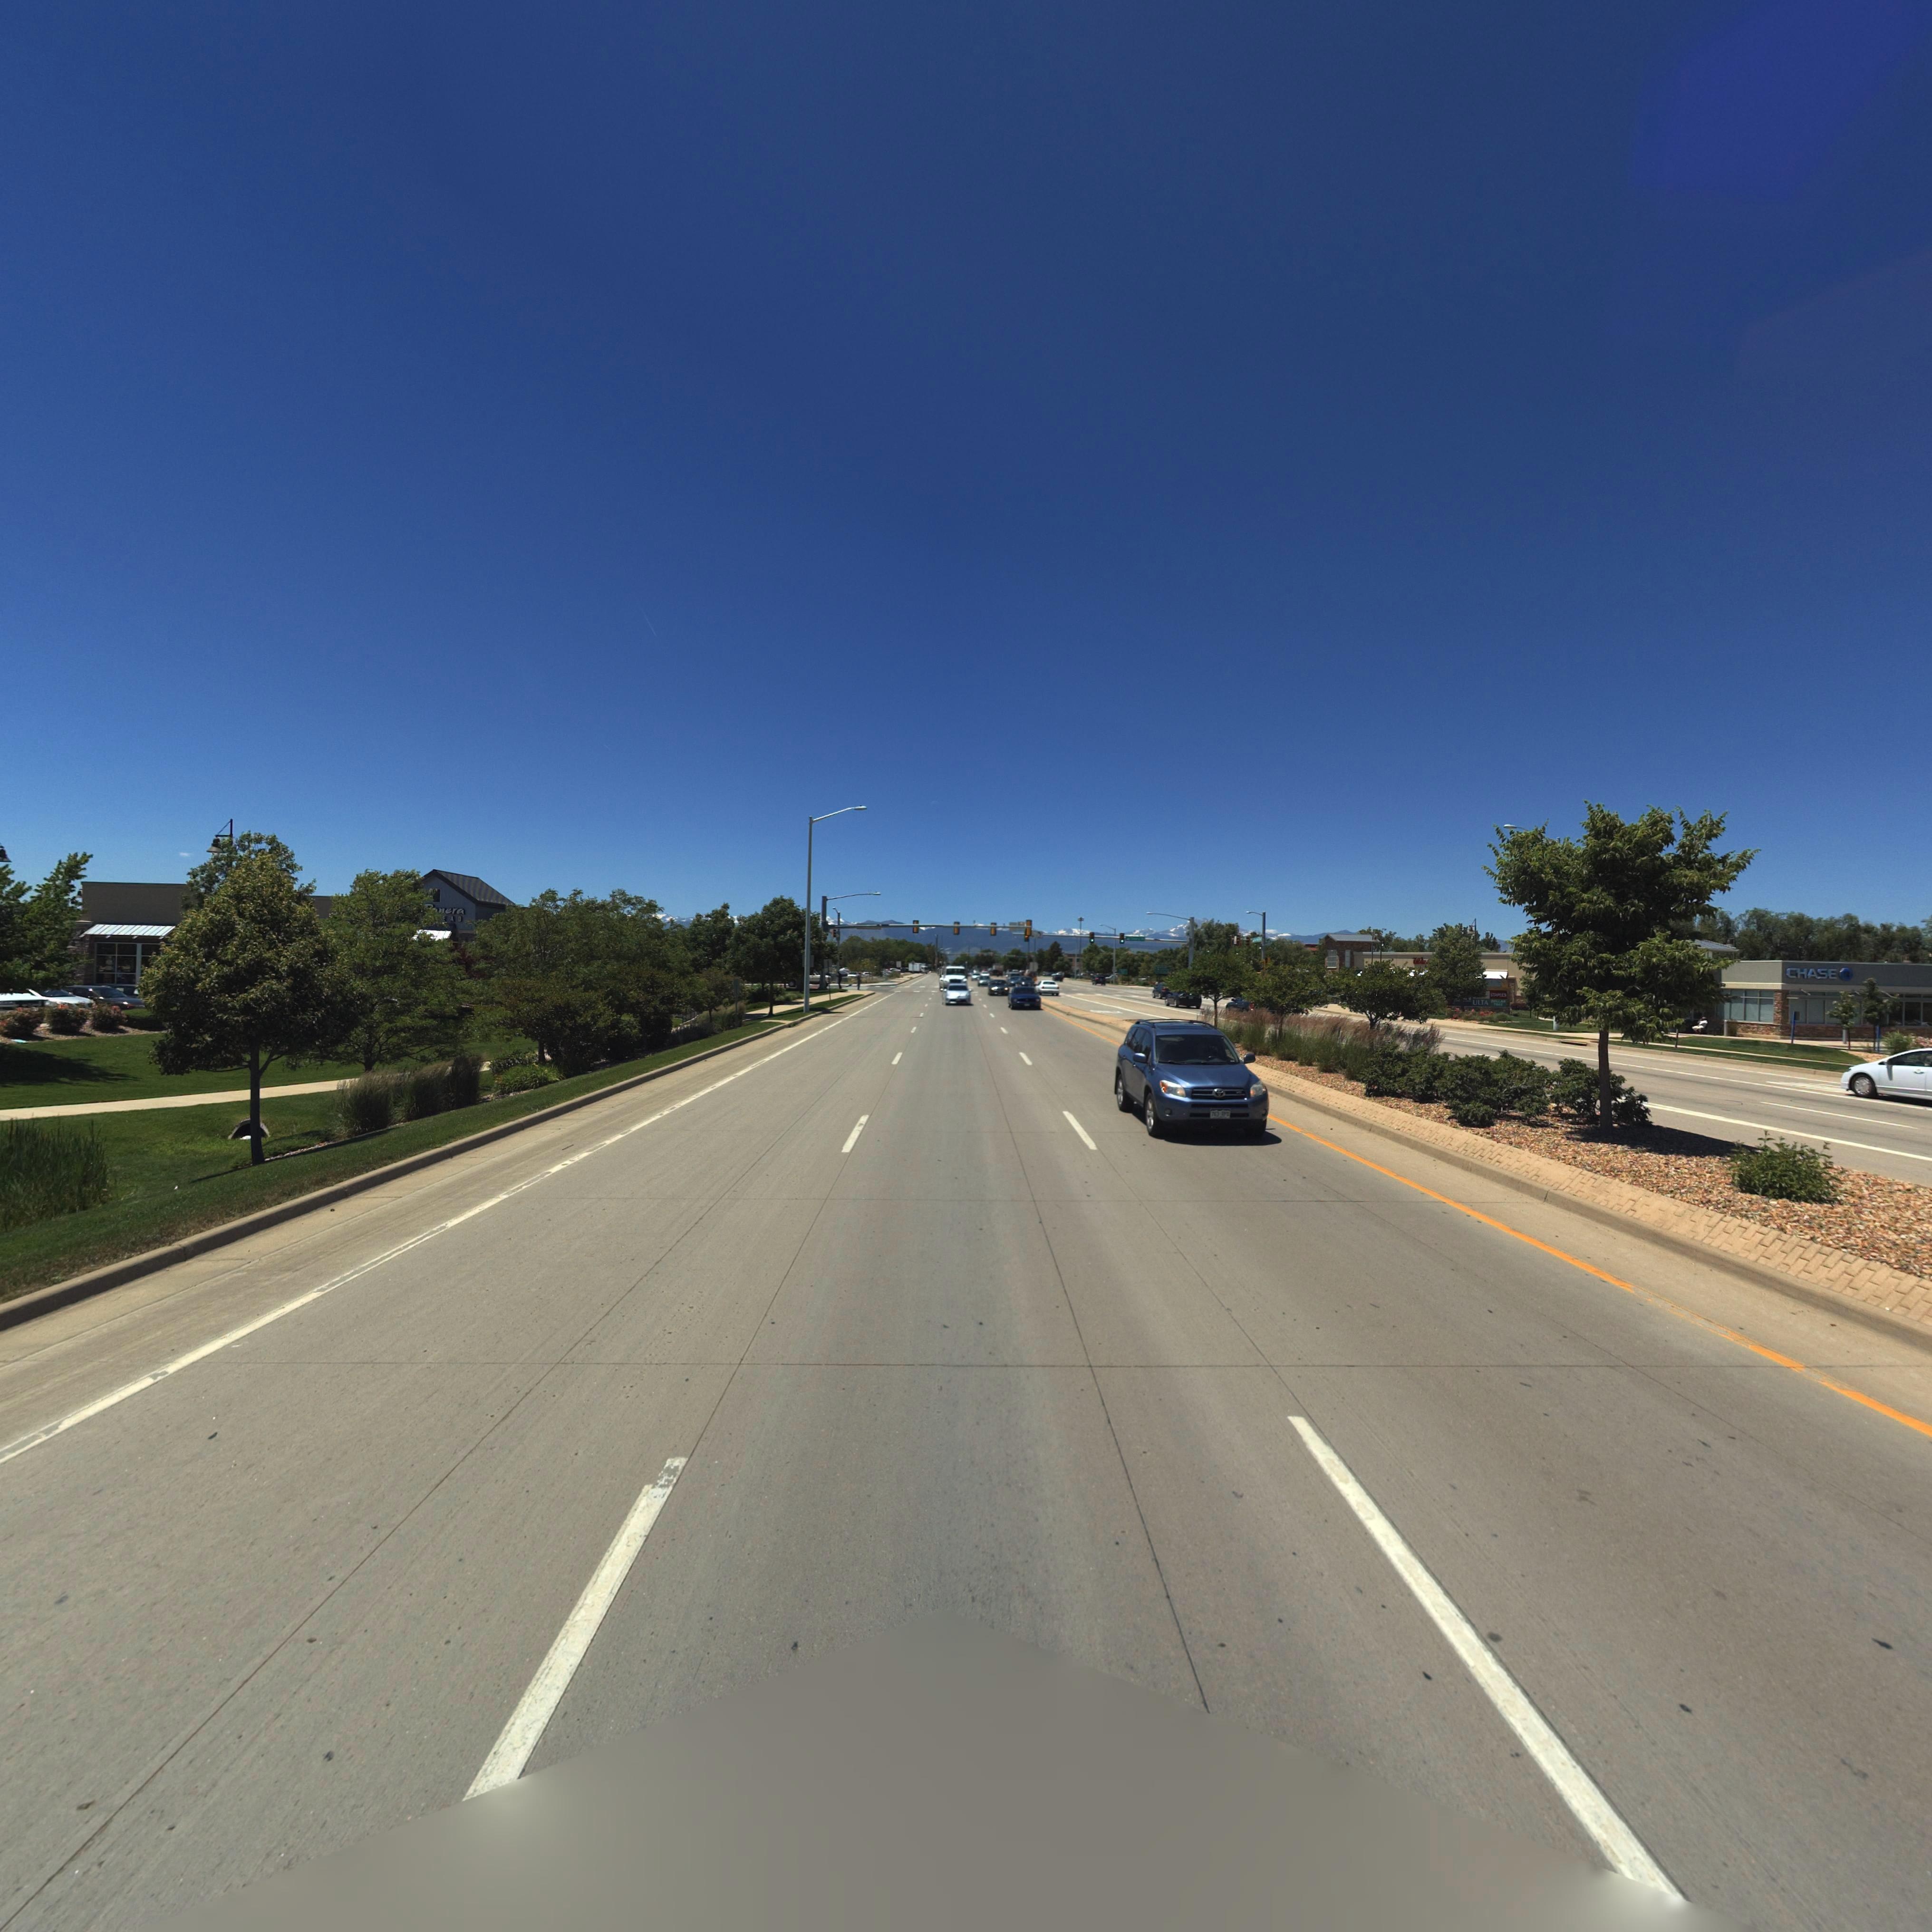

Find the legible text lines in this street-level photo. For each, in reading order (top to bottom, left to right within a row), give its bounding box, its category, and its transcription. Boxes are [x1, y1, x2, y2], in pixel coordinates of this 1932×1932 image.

[438, 908, 464, 914] BusinessName: nera
[449, 916, 461, 922] BusinessName: AD
[1412, 956, 1427, 964] BusinessName: Wa
[1786, 967, 1836, 979] BusinessName: CHASE
[1490, 993, 1507, 996] BusinessName: STAPLES
[1473, 999, 1489, 1005] BusinessName: ULTA
[1493, 1003, 1503, 1006] BusinessName: TREE
[1491, 1000, 1506, 1003] BusinessName: DOLLAR